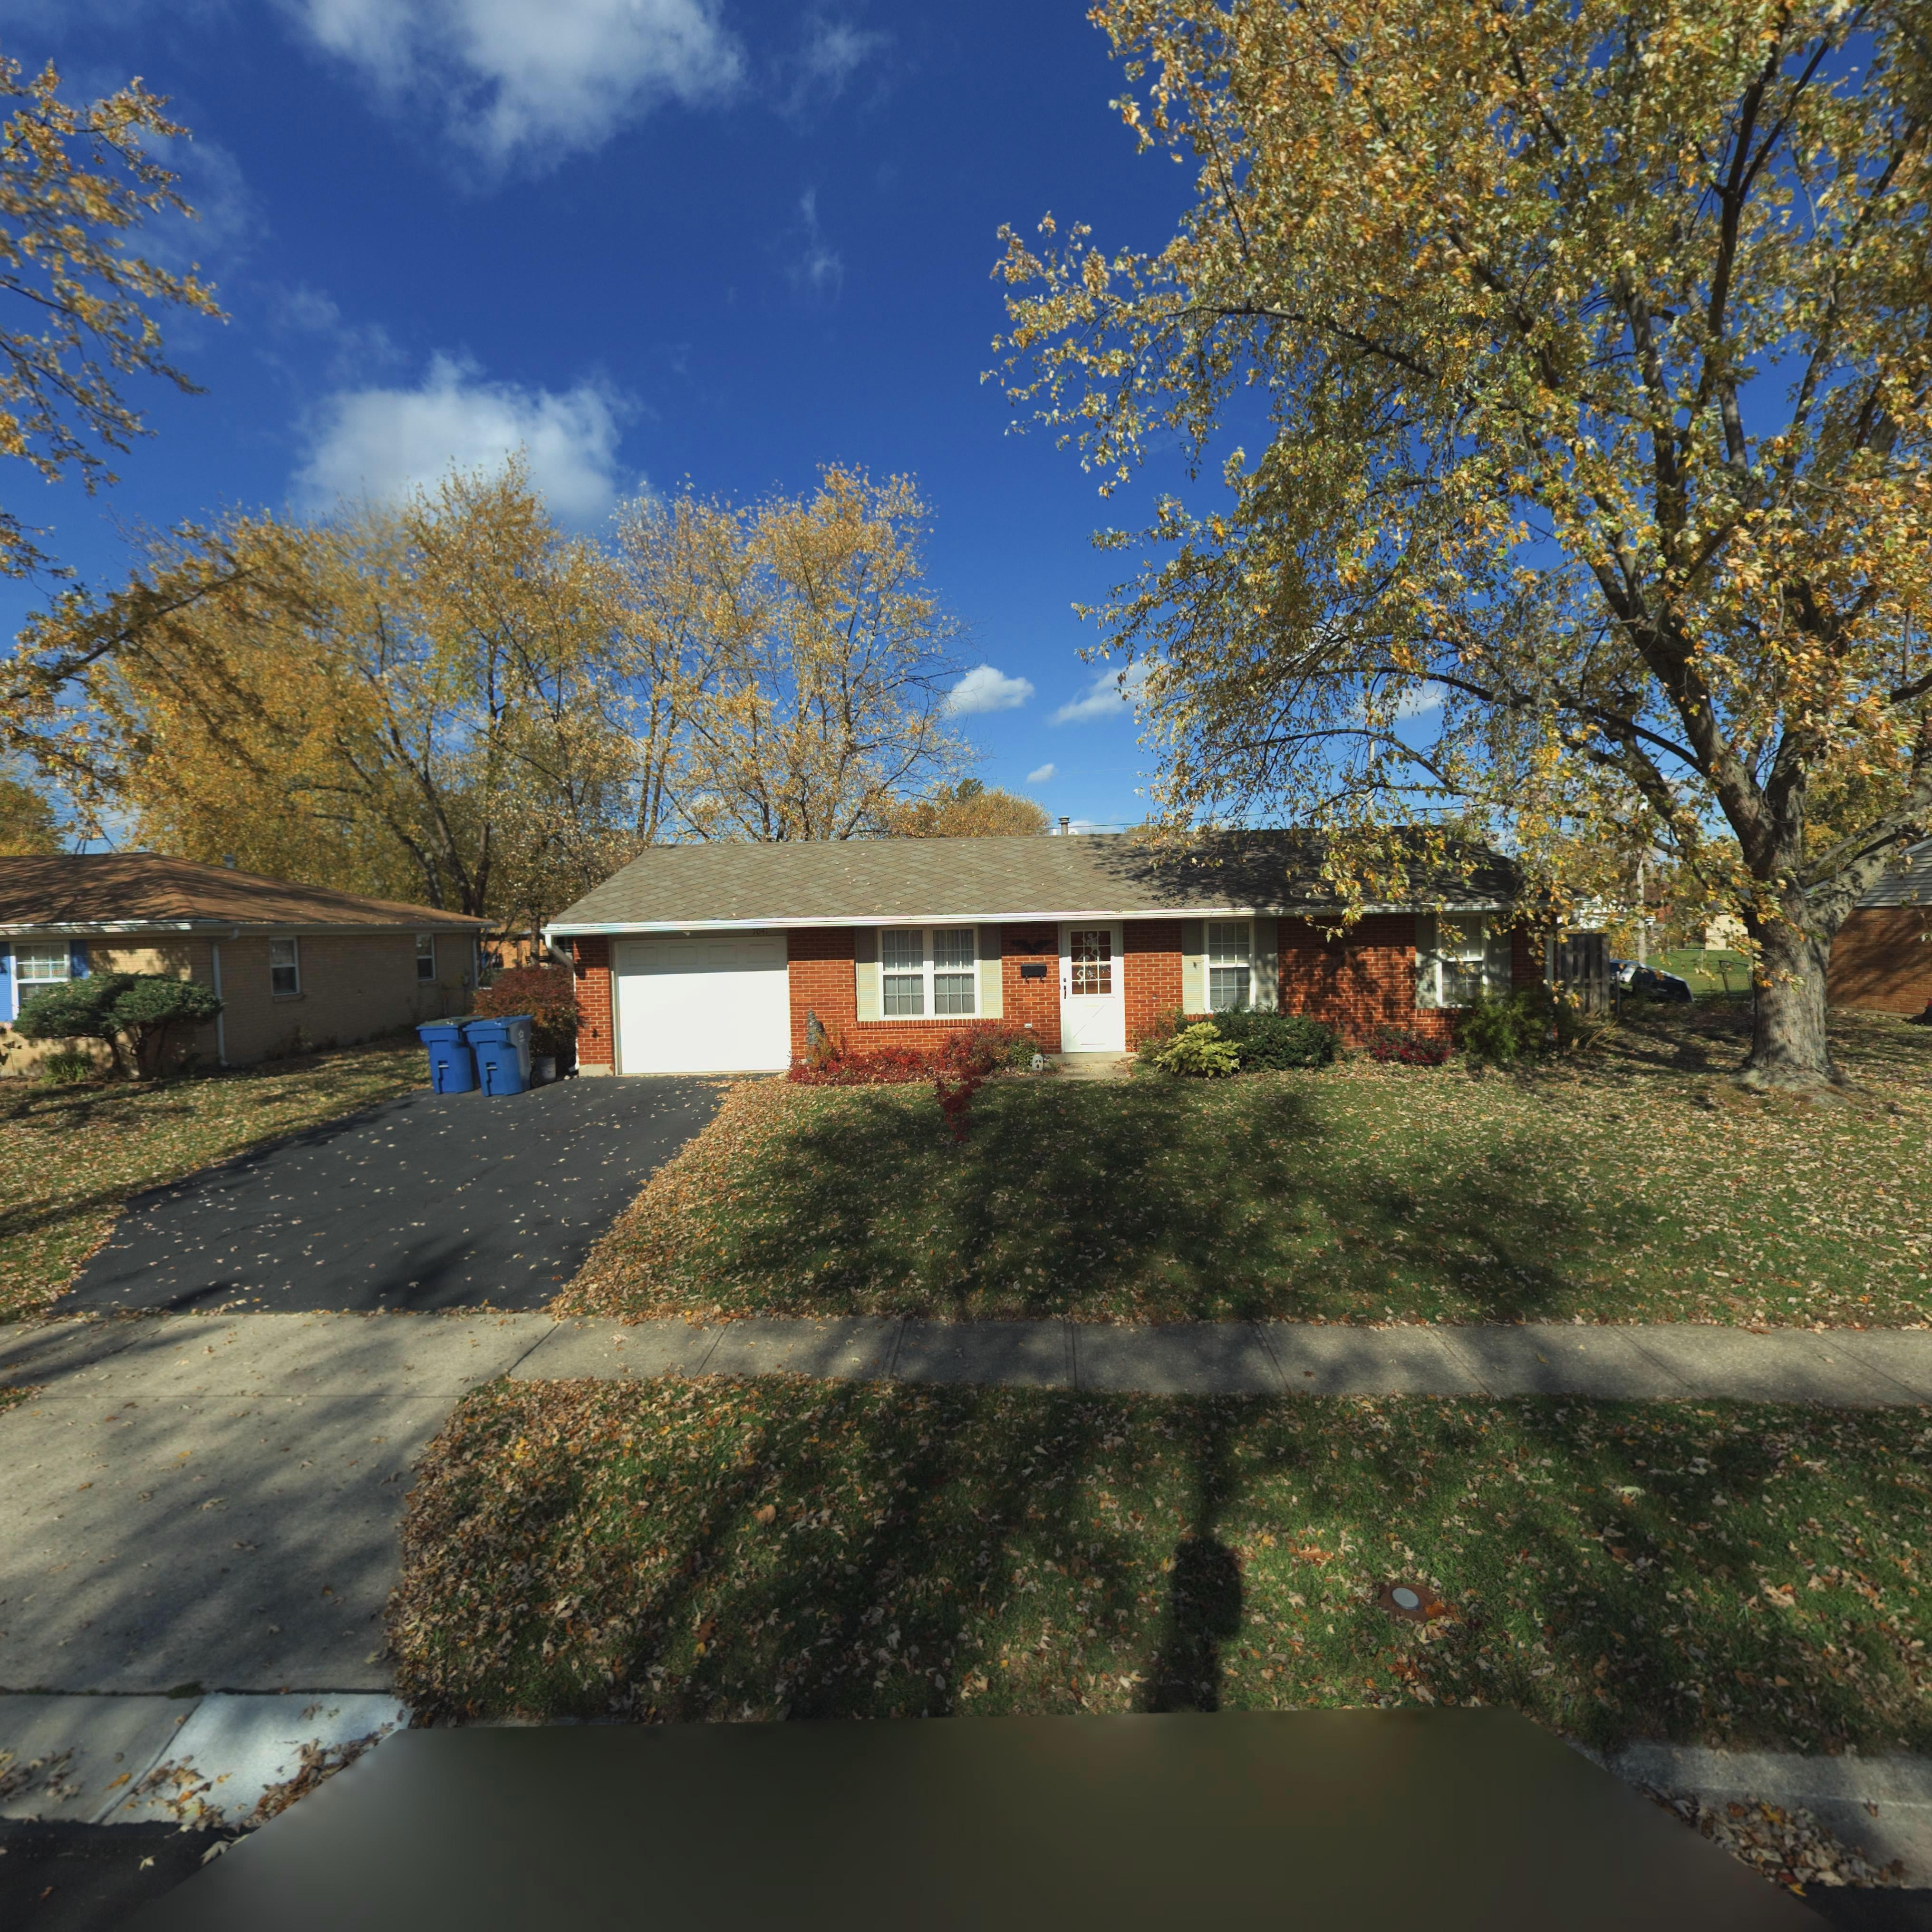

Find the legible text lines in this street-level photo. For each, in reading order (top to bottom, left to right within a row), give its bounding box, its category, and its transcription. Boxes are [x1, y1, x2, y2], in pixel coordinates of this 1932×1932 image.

[751, 927, 769, 937] StreetNumber: 7041